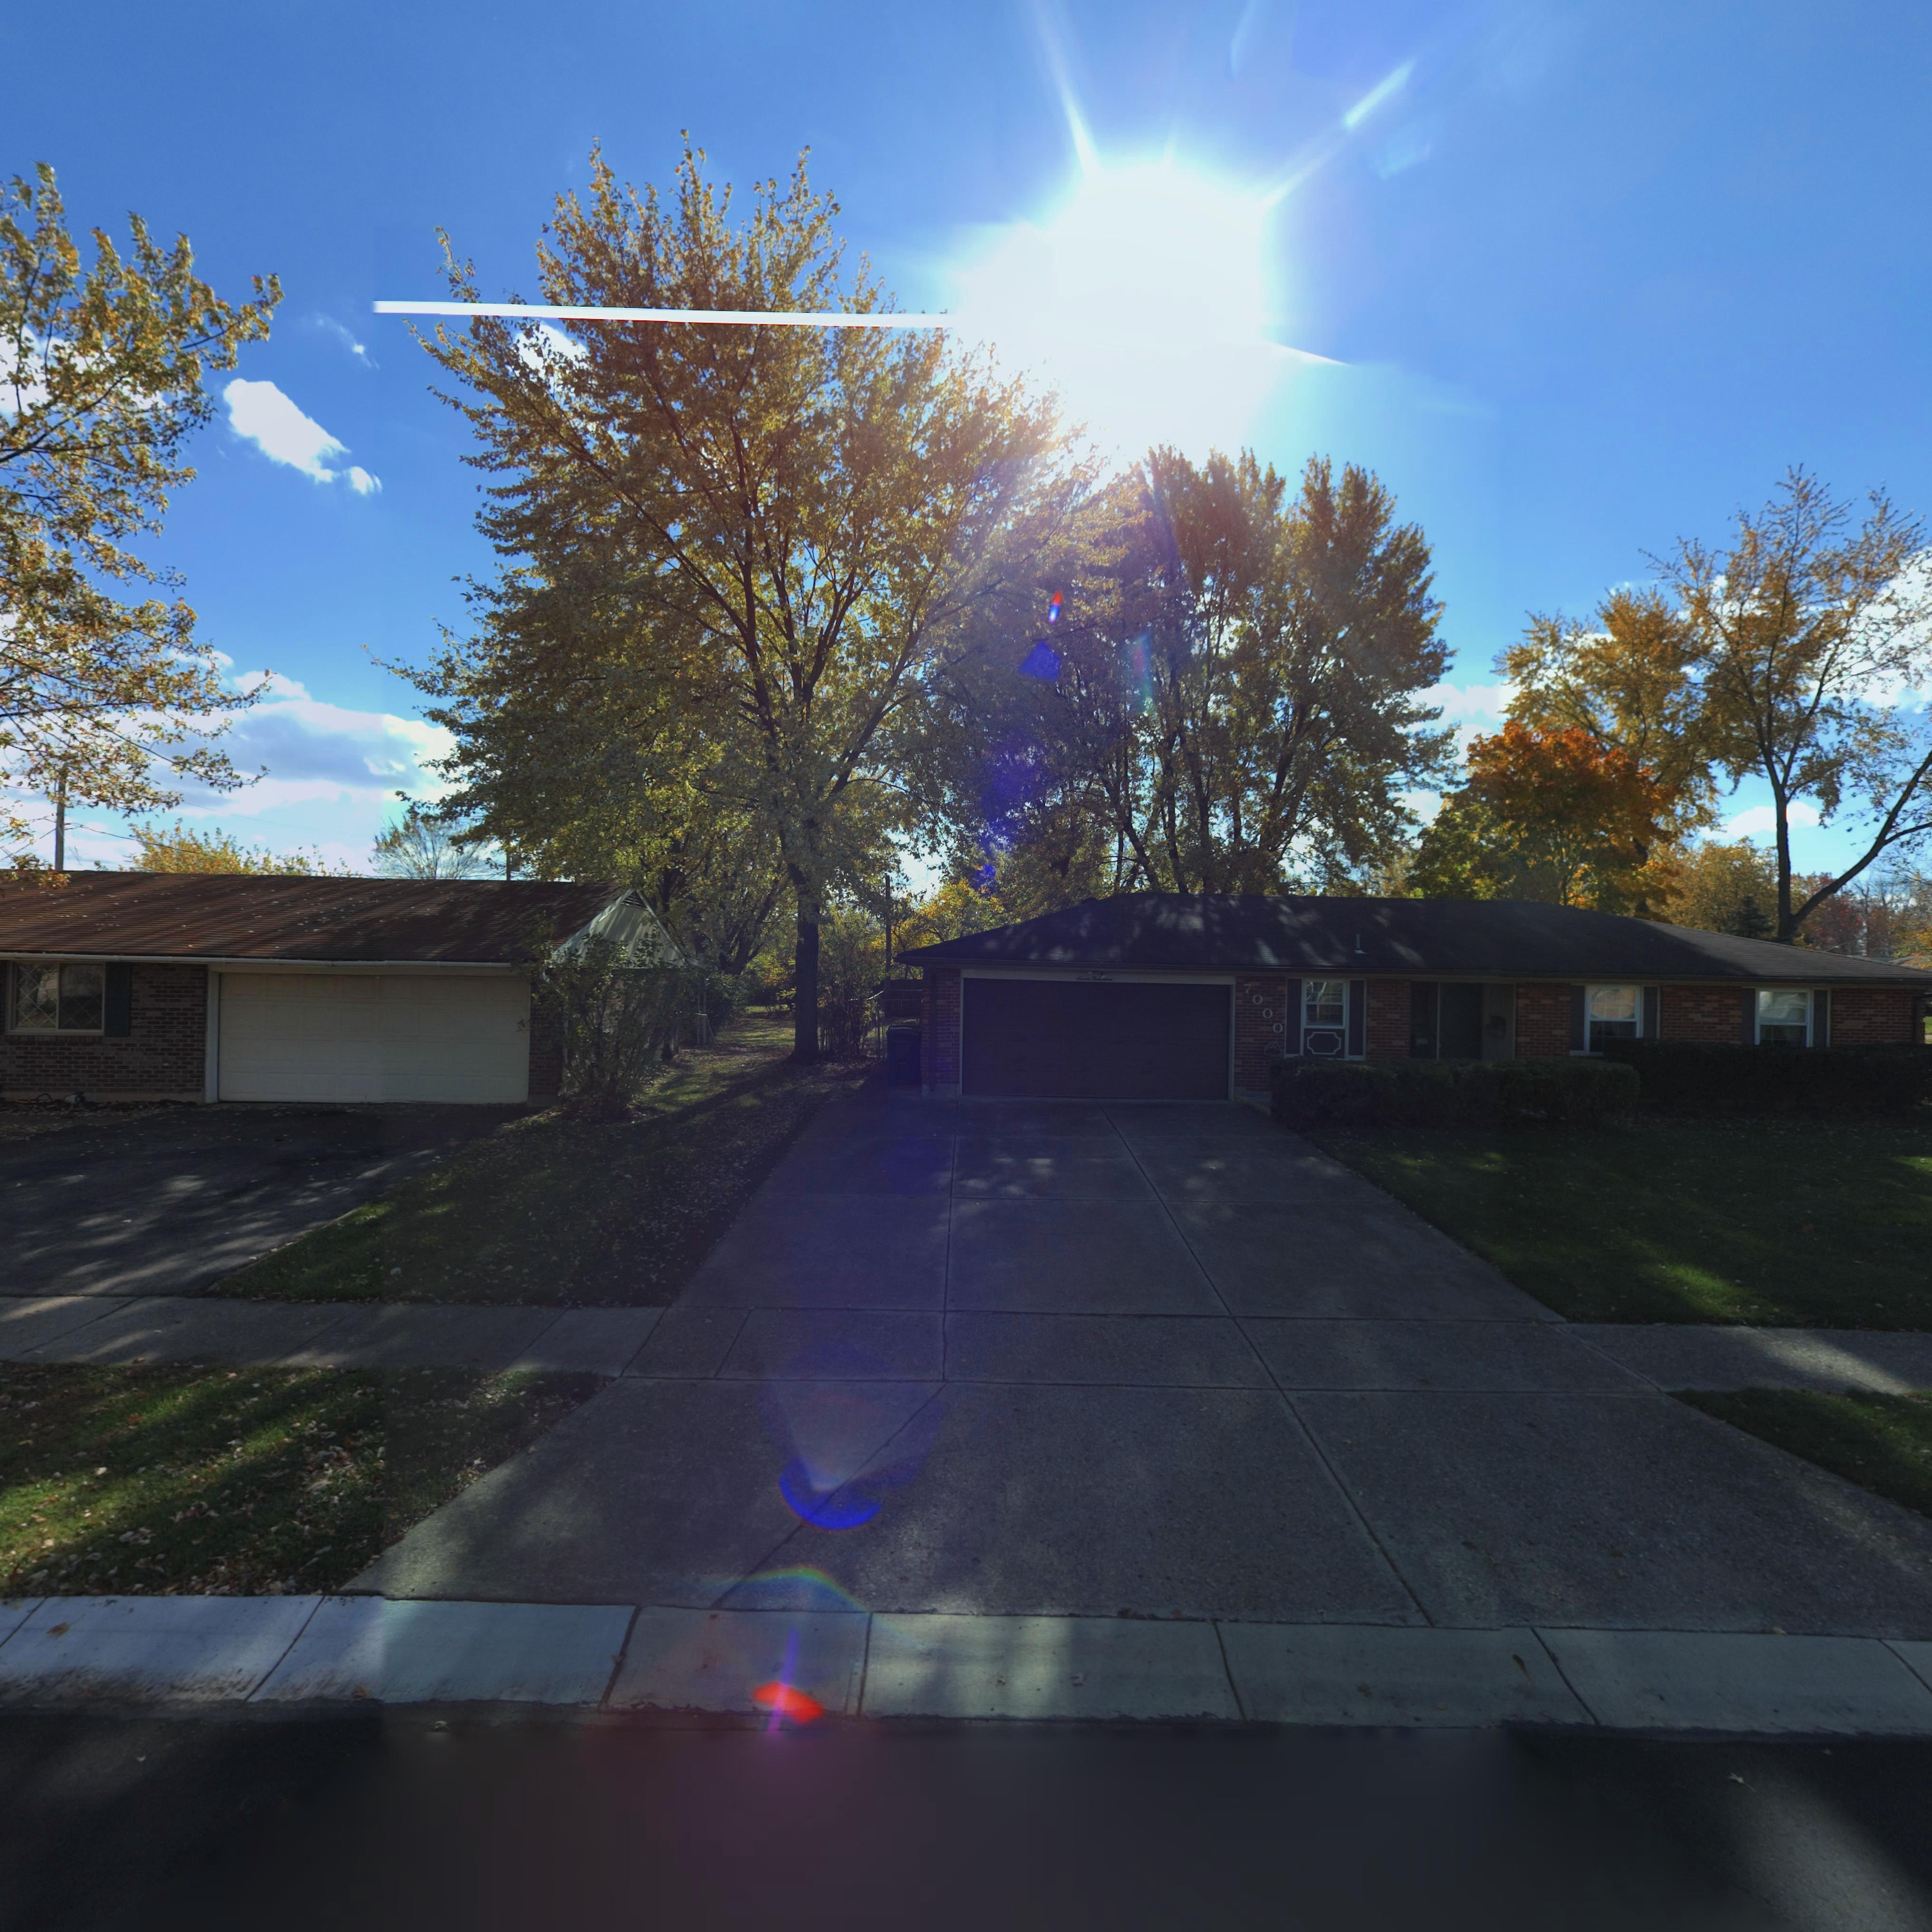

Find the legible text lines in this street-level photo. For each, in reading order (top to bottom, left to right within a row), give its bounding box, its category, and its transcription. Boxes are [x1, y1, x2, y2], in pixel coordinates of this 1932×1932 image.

[1243, 983, 1284, 1035] StreetNumber: 7000